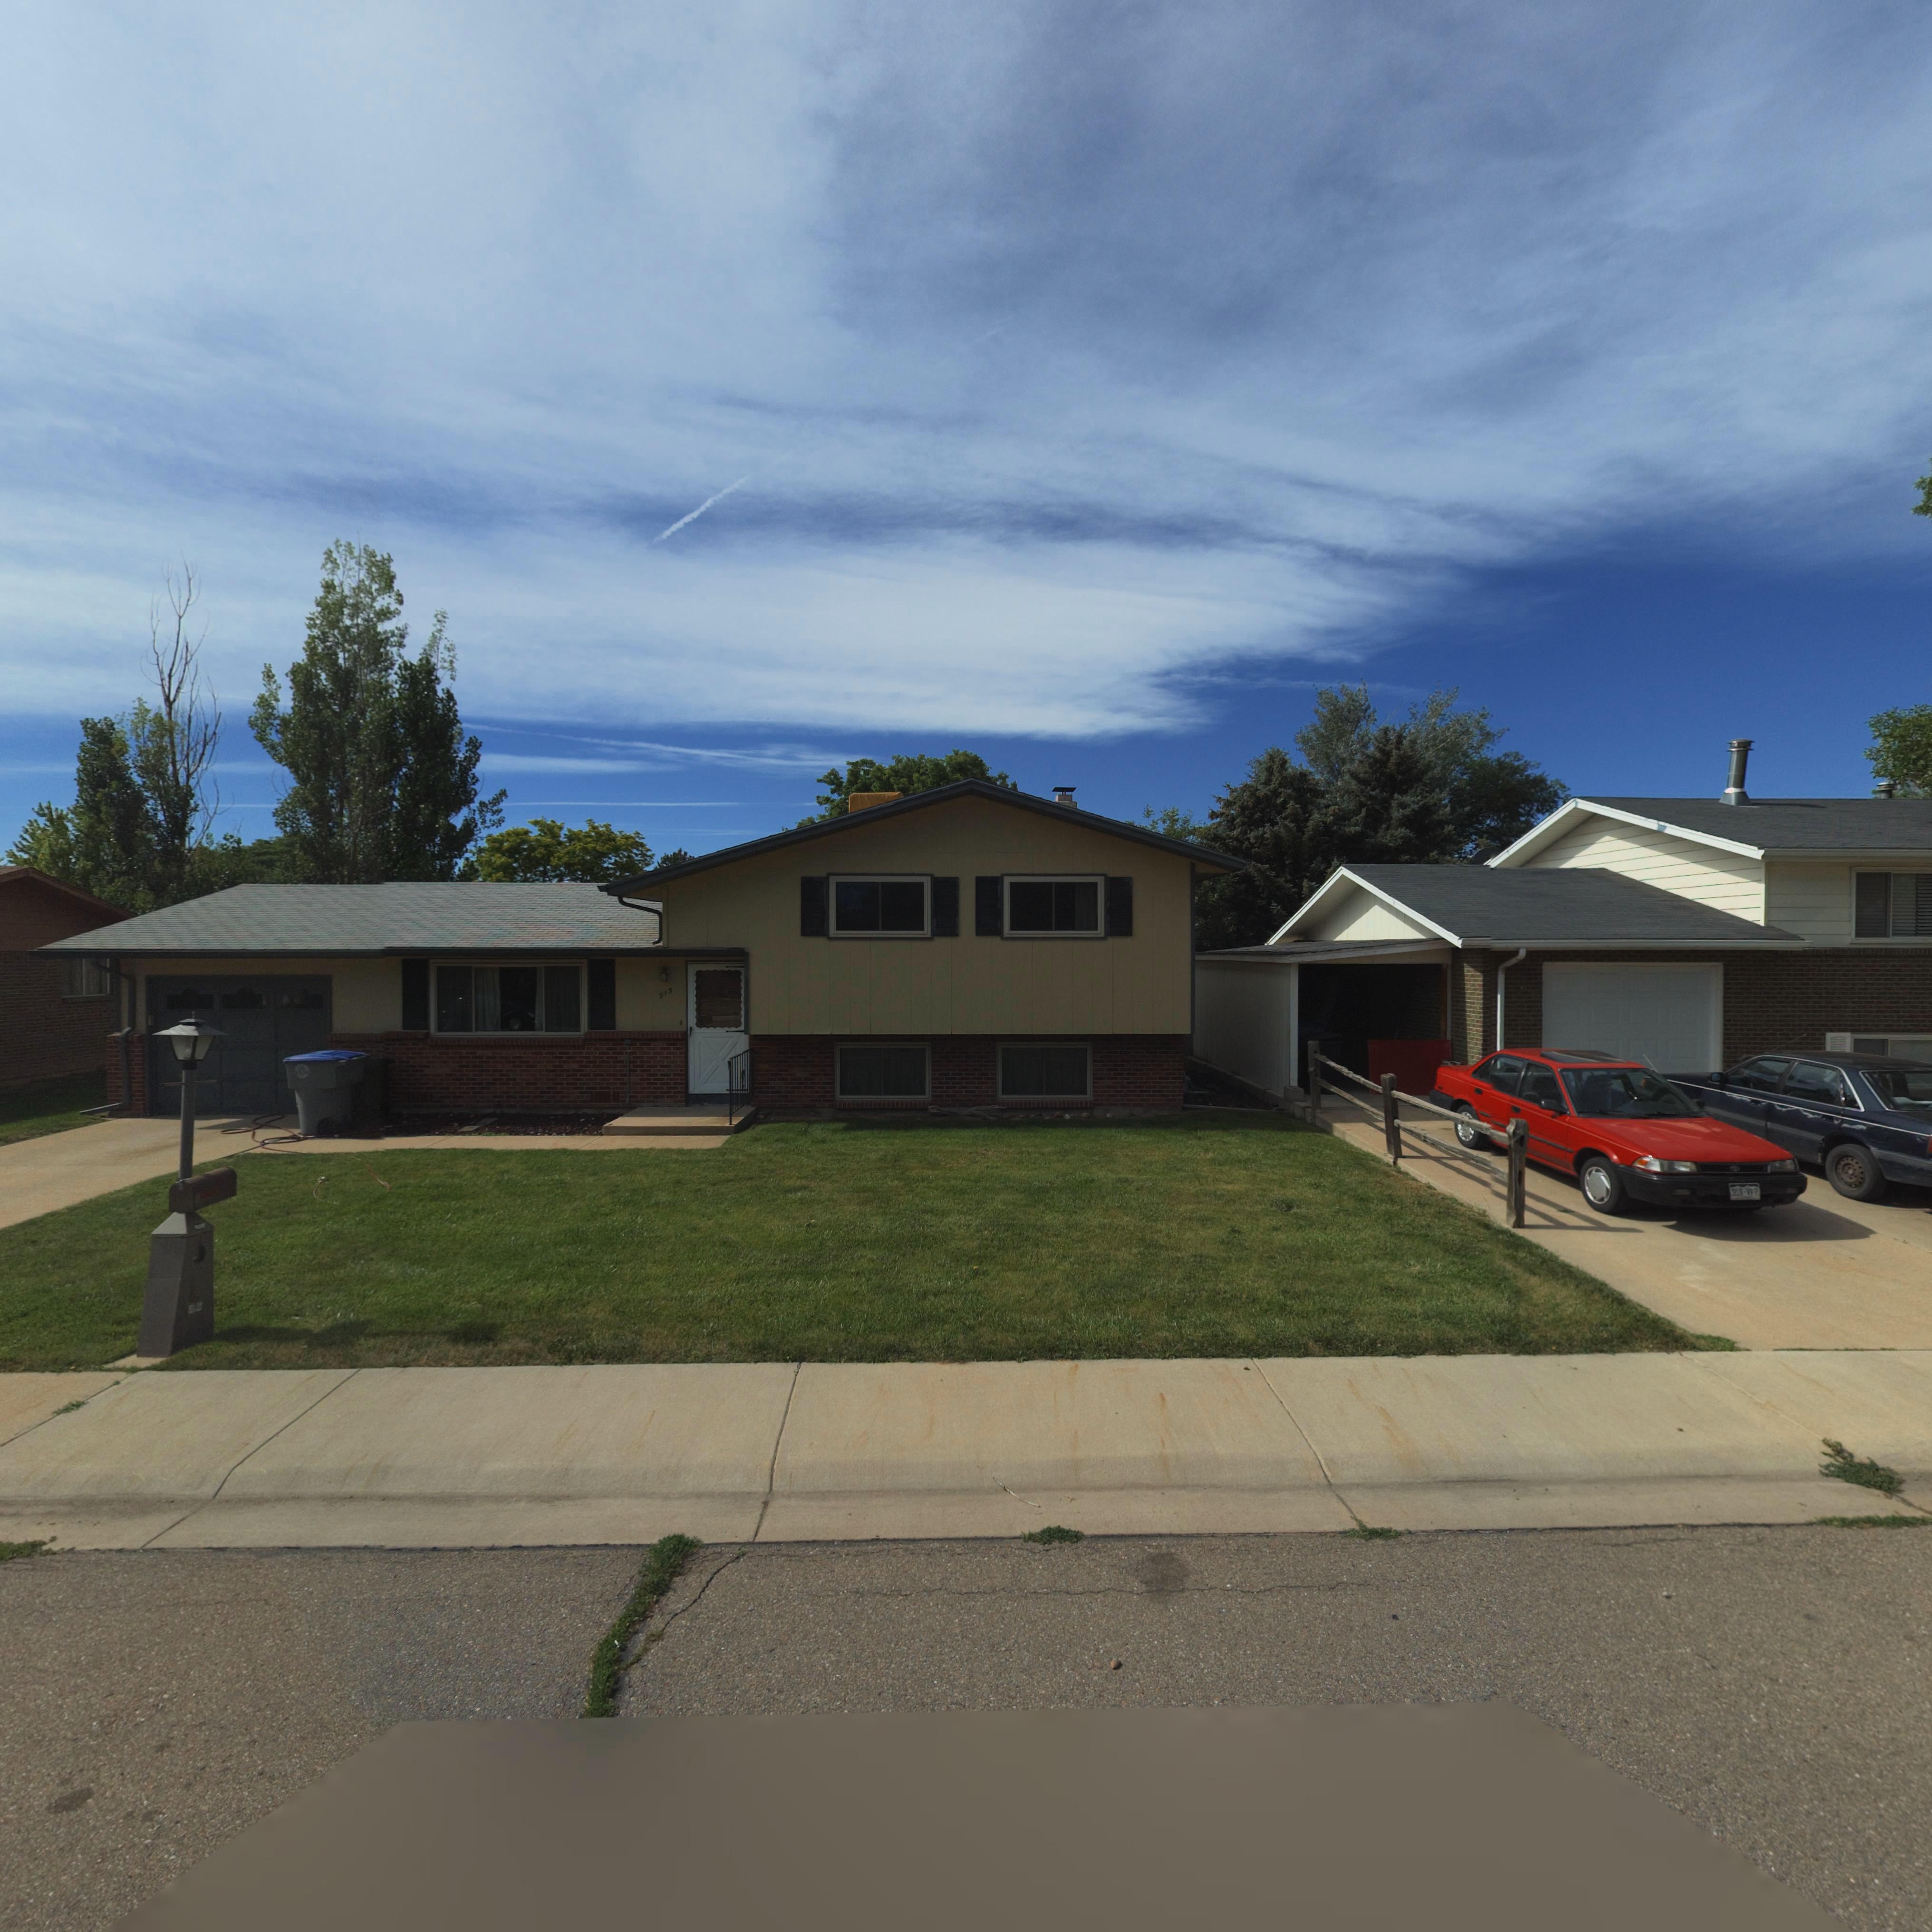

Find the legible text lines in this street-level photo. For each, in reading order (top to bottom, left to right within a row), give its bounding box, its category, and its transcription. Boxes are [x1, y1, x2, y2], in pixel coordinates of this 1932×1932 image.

[658, 987, 672, 1000] None: 915